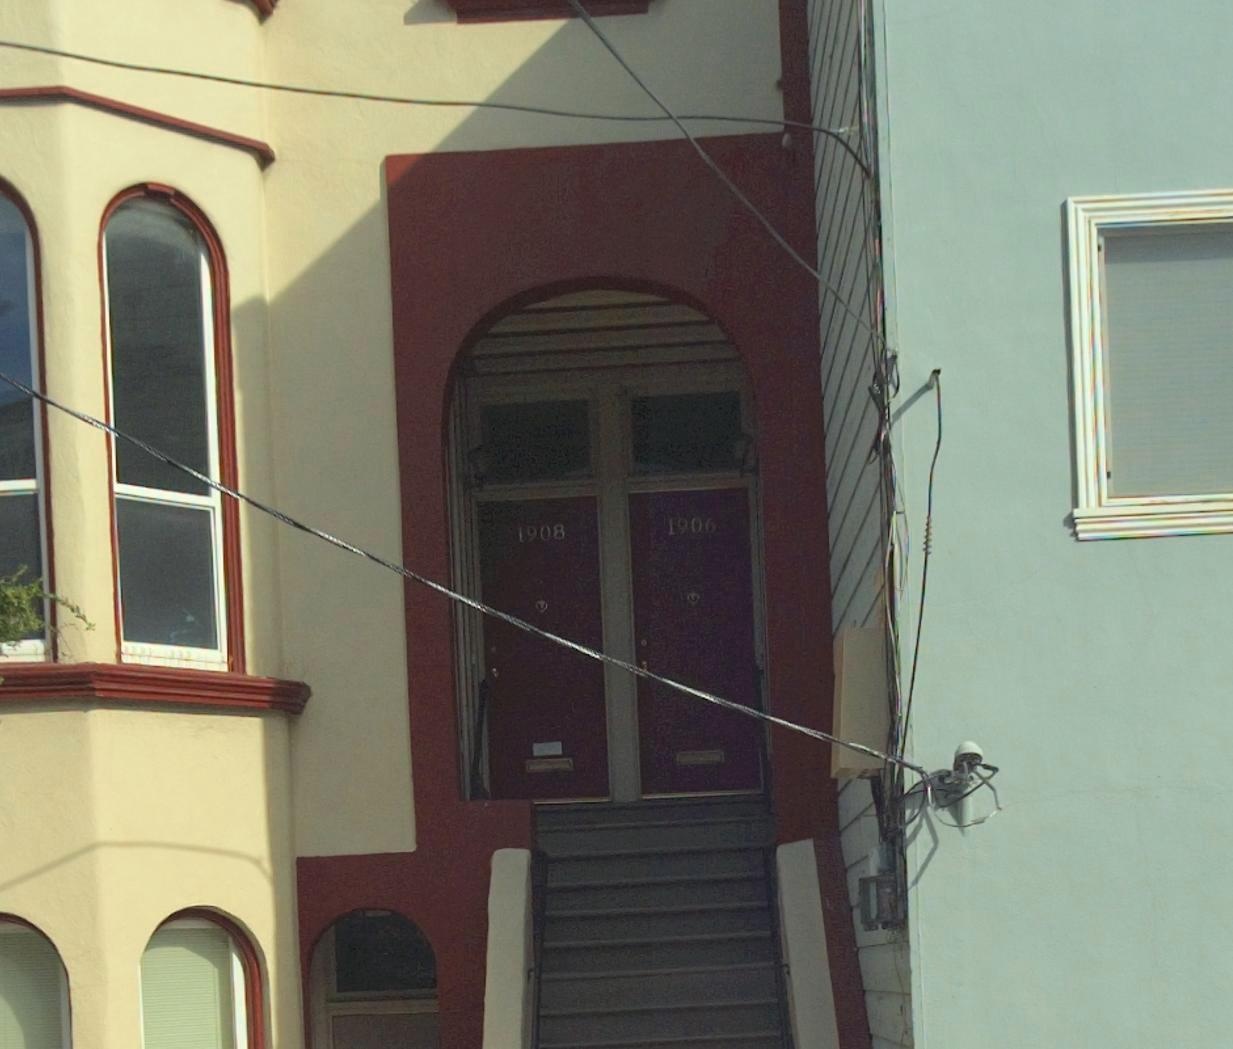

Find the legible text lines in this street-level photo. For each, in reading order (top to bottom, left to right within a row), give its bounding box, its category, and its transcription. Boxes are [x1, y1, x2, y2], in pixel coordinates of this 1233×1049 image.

[515, 520, 567, 547] StreetNumber: 1908
[666, 515, 717, 537] StreetNumber: 1906